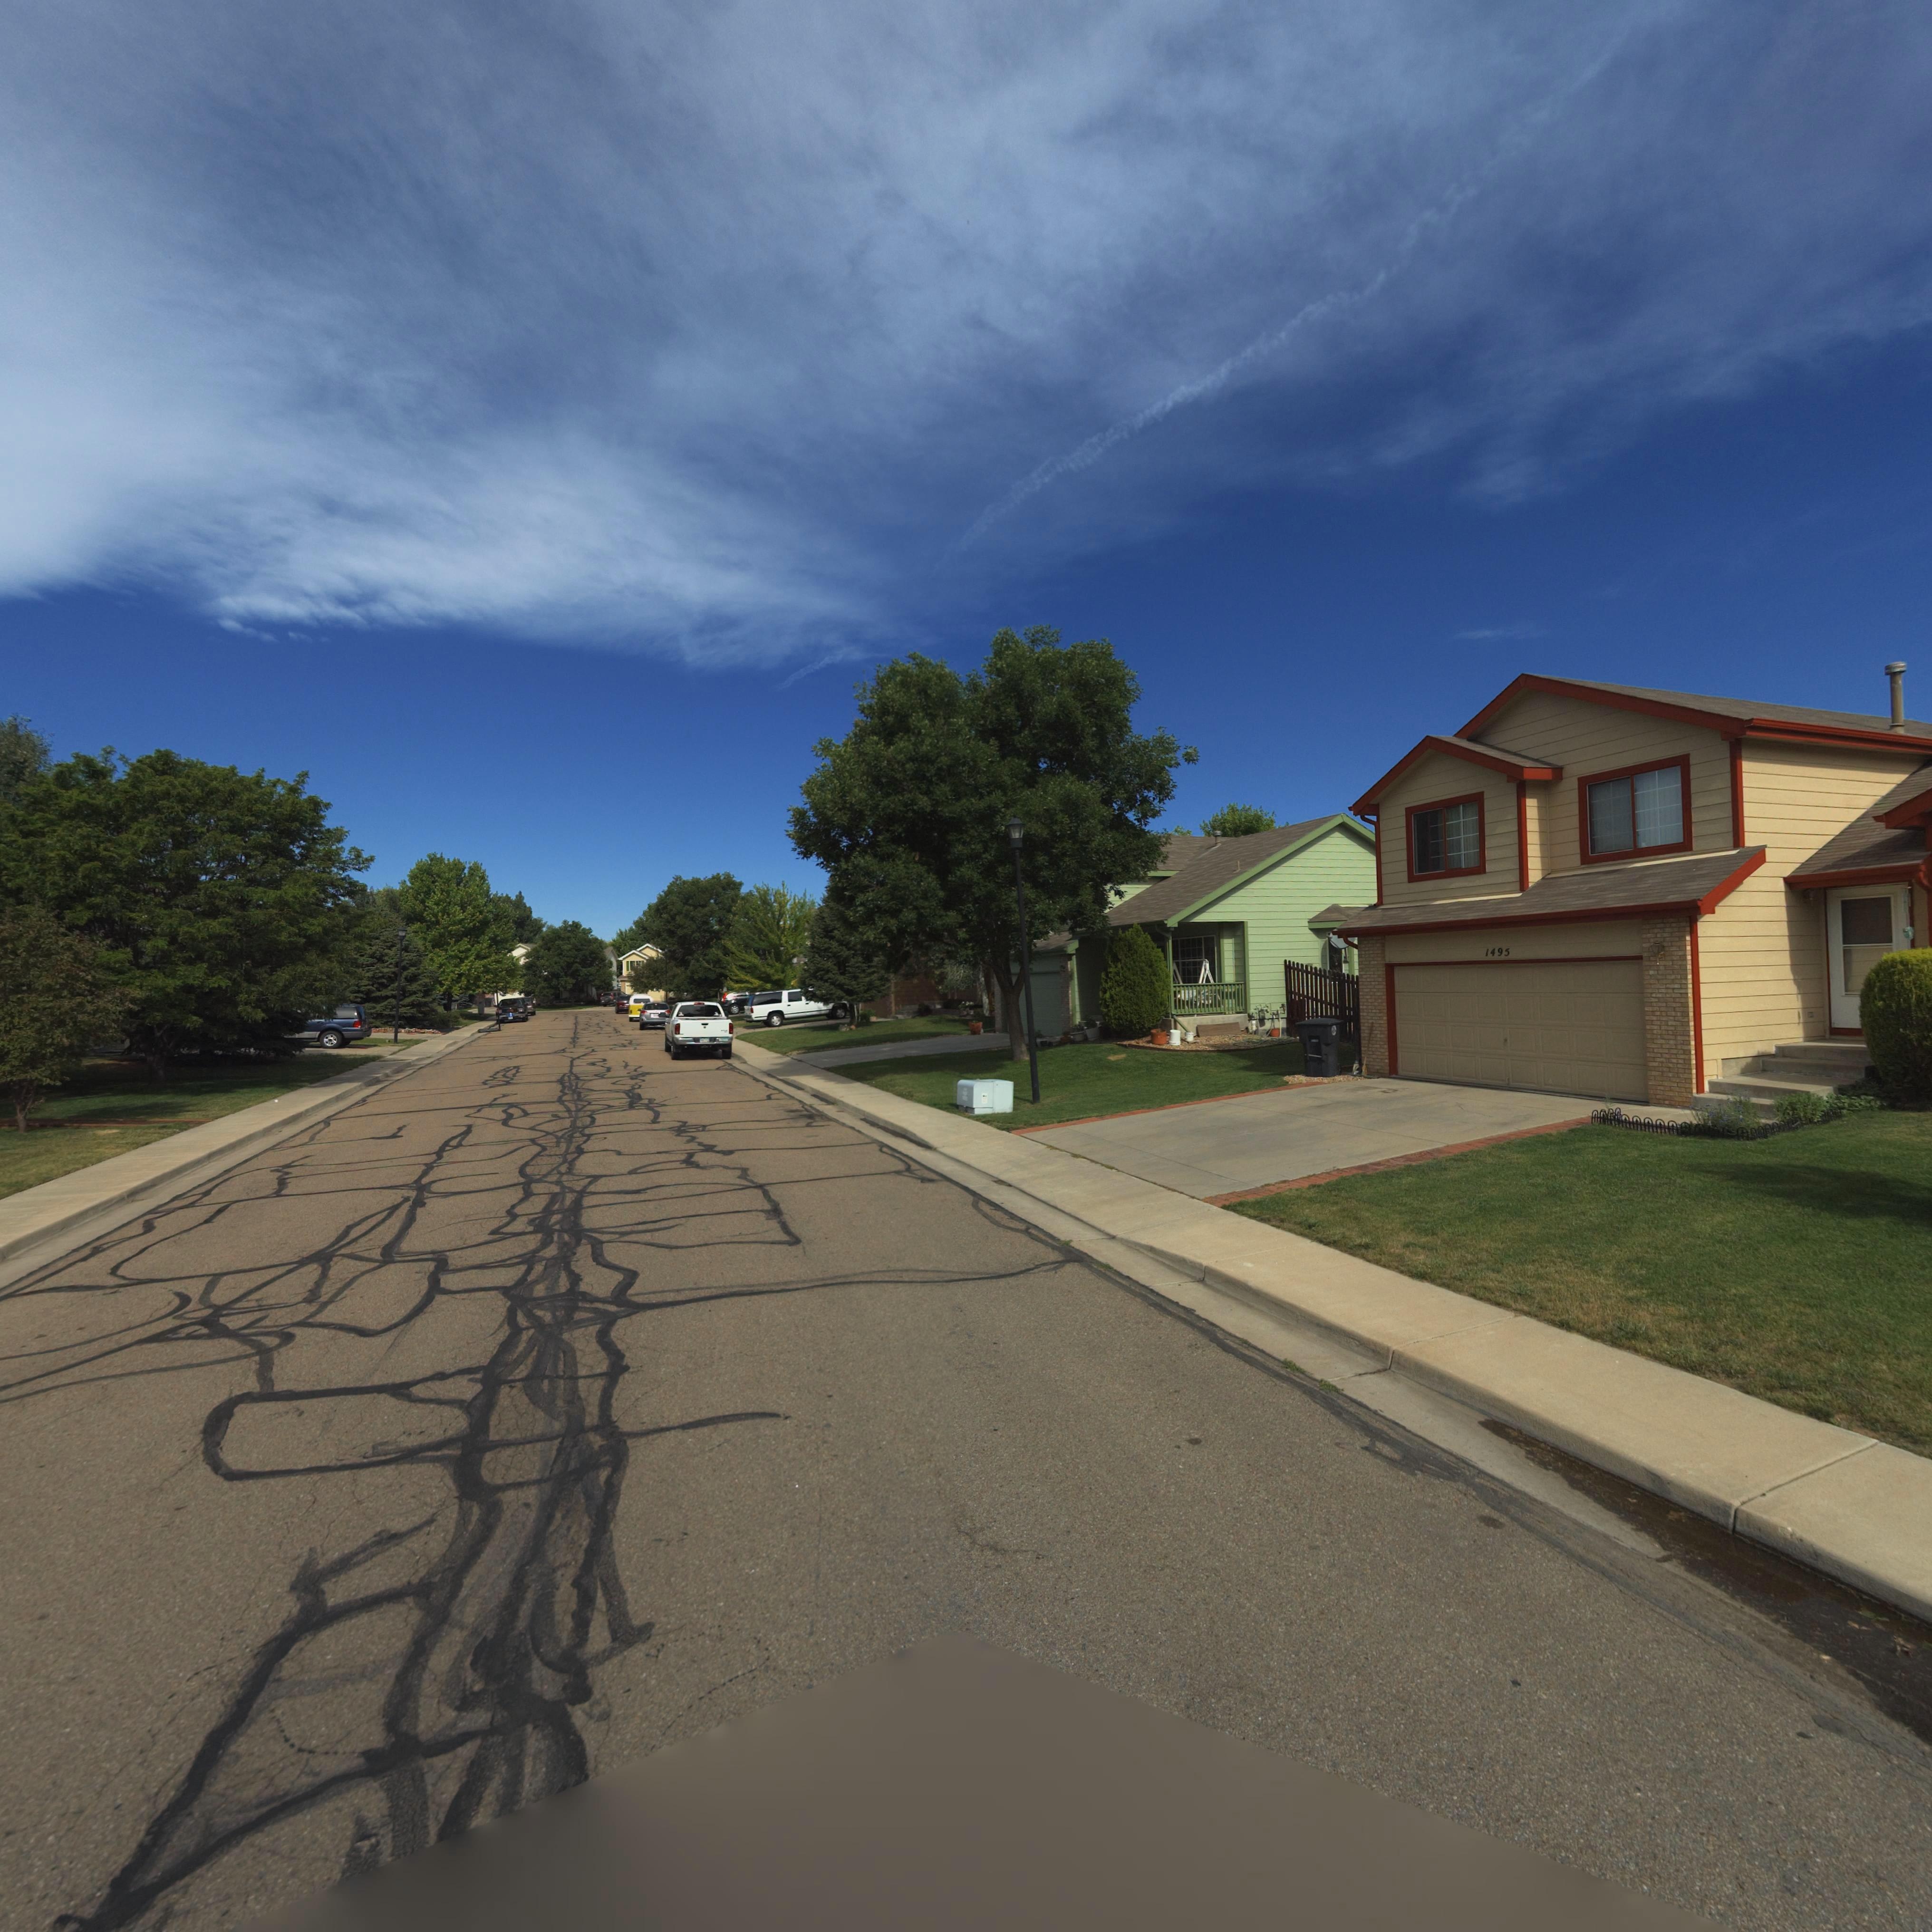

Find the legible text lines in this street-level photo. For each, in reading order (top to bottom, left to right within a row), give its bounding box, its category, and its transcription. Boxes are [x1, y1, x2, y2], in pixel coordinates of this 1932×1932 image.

[1484, 947, 1510, 956] StreetNumber: 1495